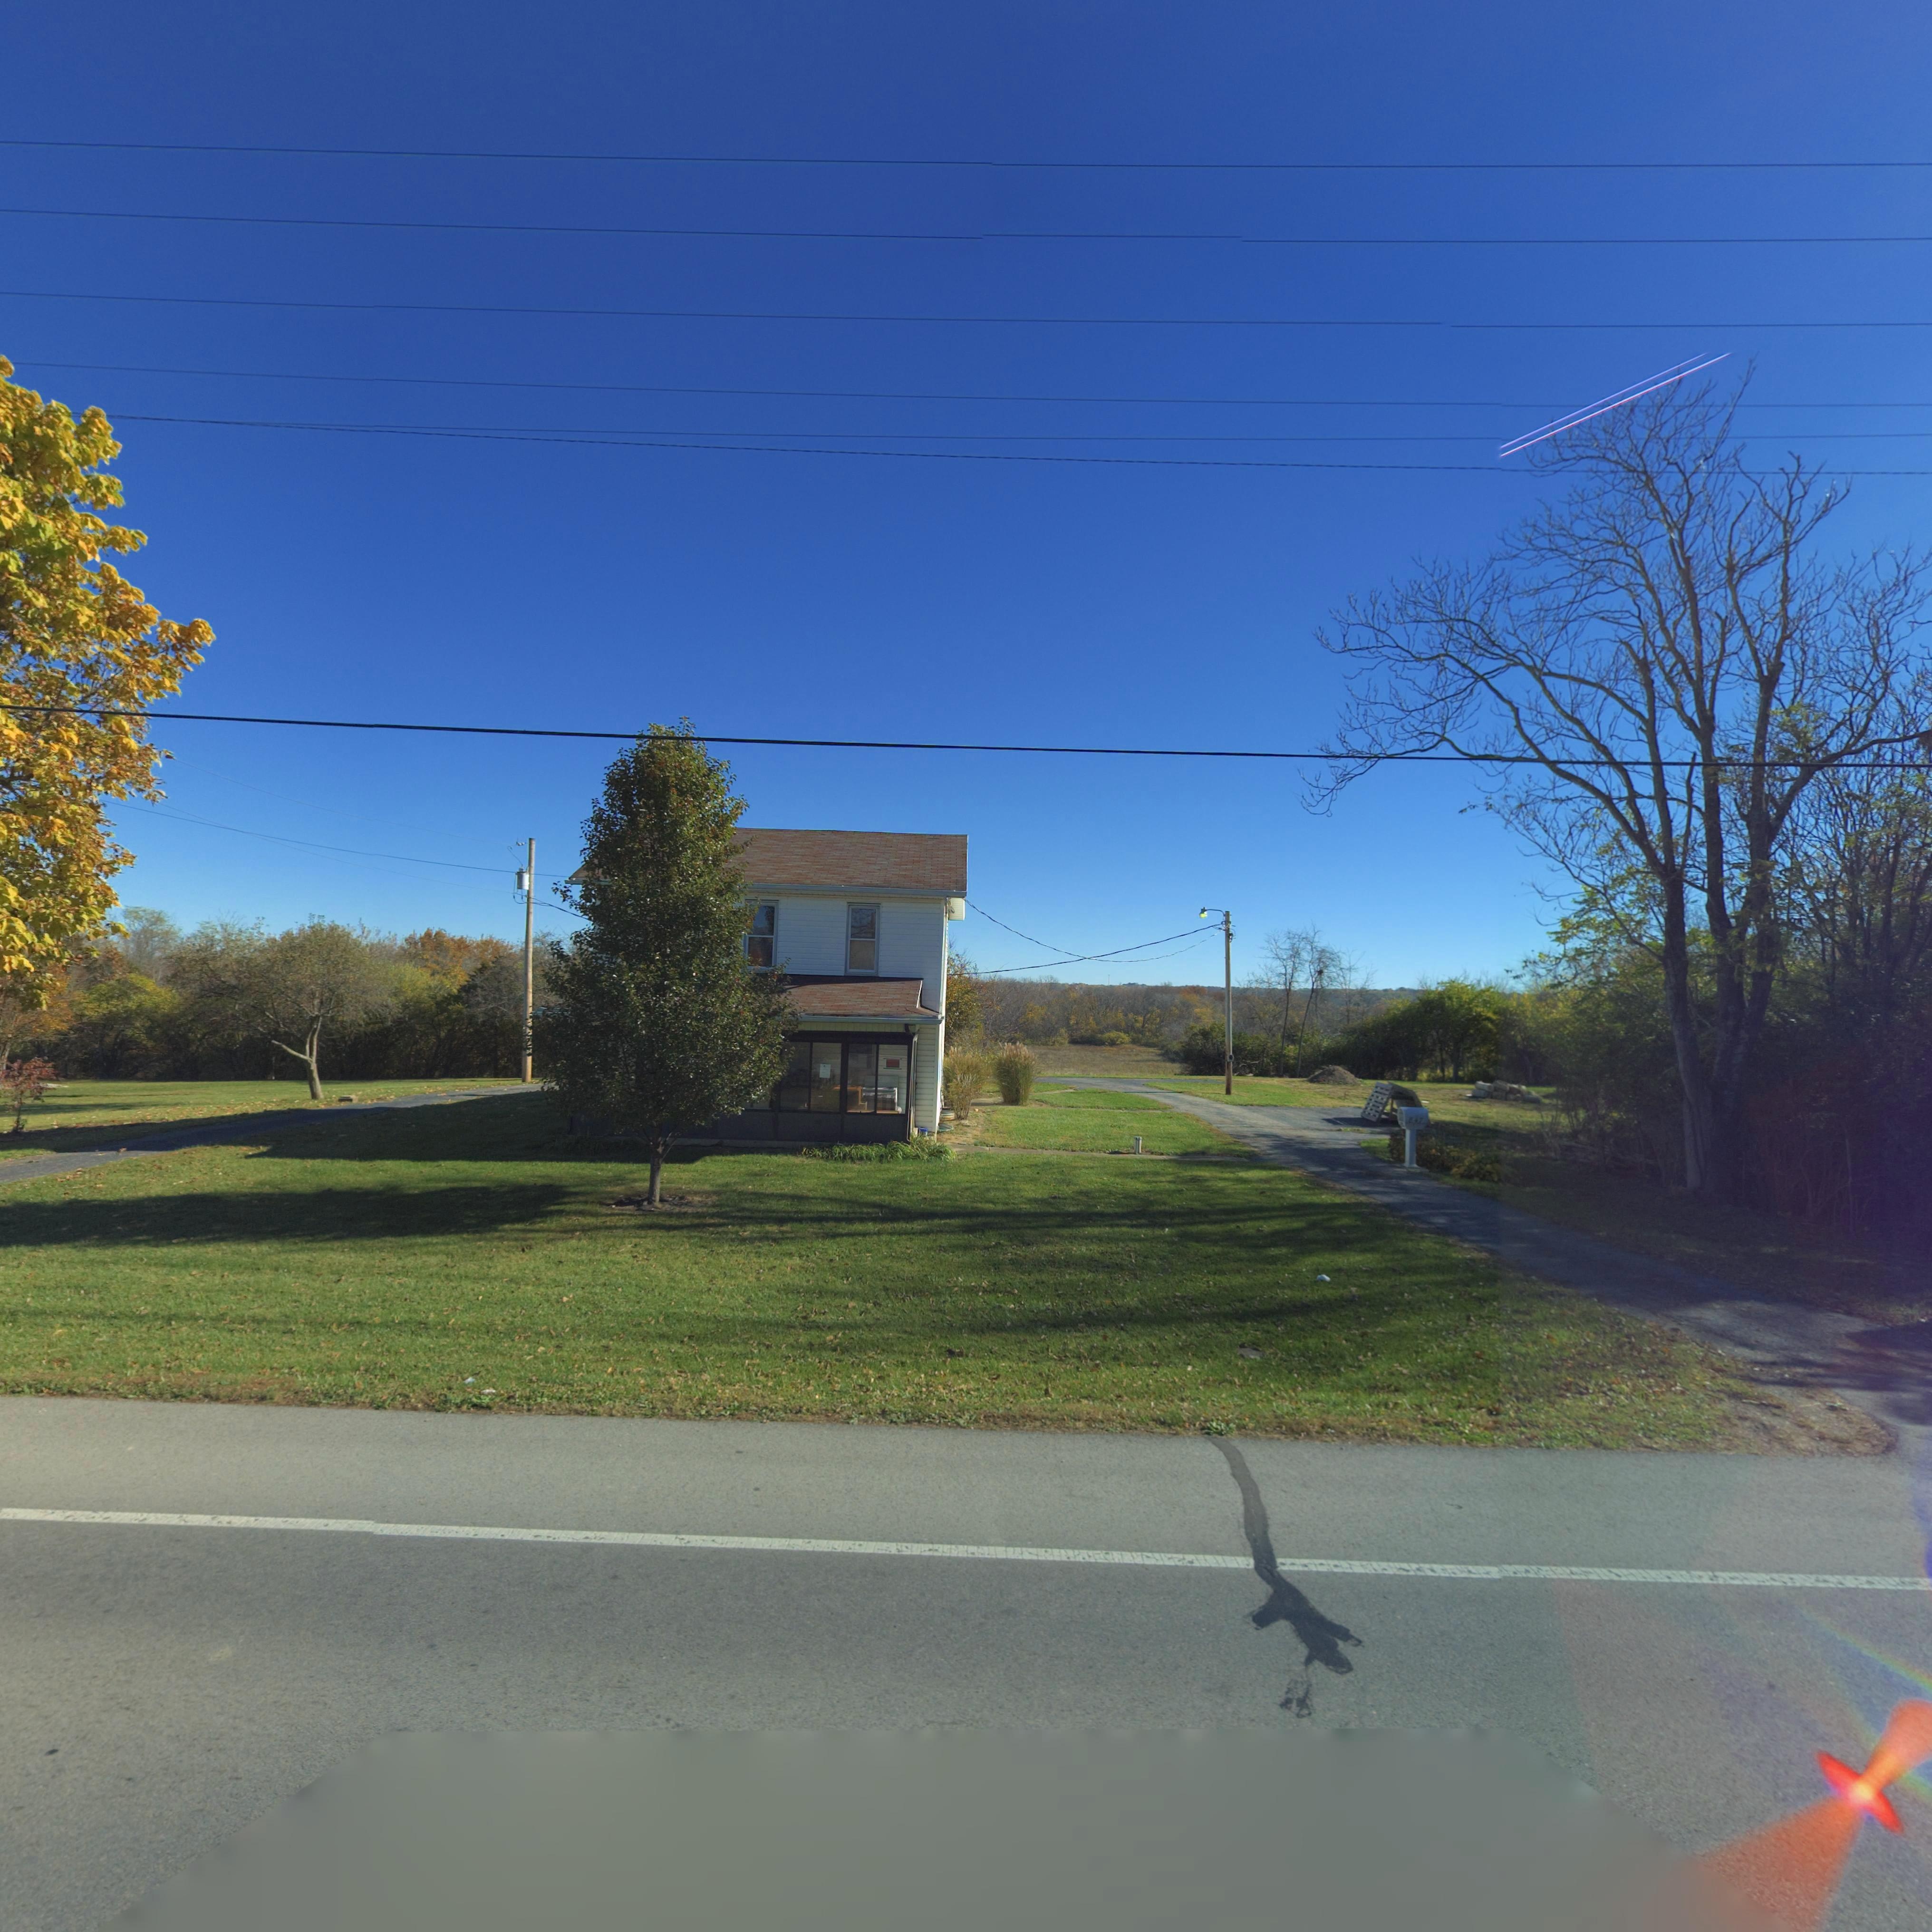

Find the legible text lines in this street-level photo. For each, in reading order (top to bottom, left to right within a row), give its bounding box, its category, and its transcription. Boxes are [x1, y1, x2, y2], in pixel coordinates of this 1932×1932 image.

[1407, 1115, 1424, 1124] StreetNumber: **7